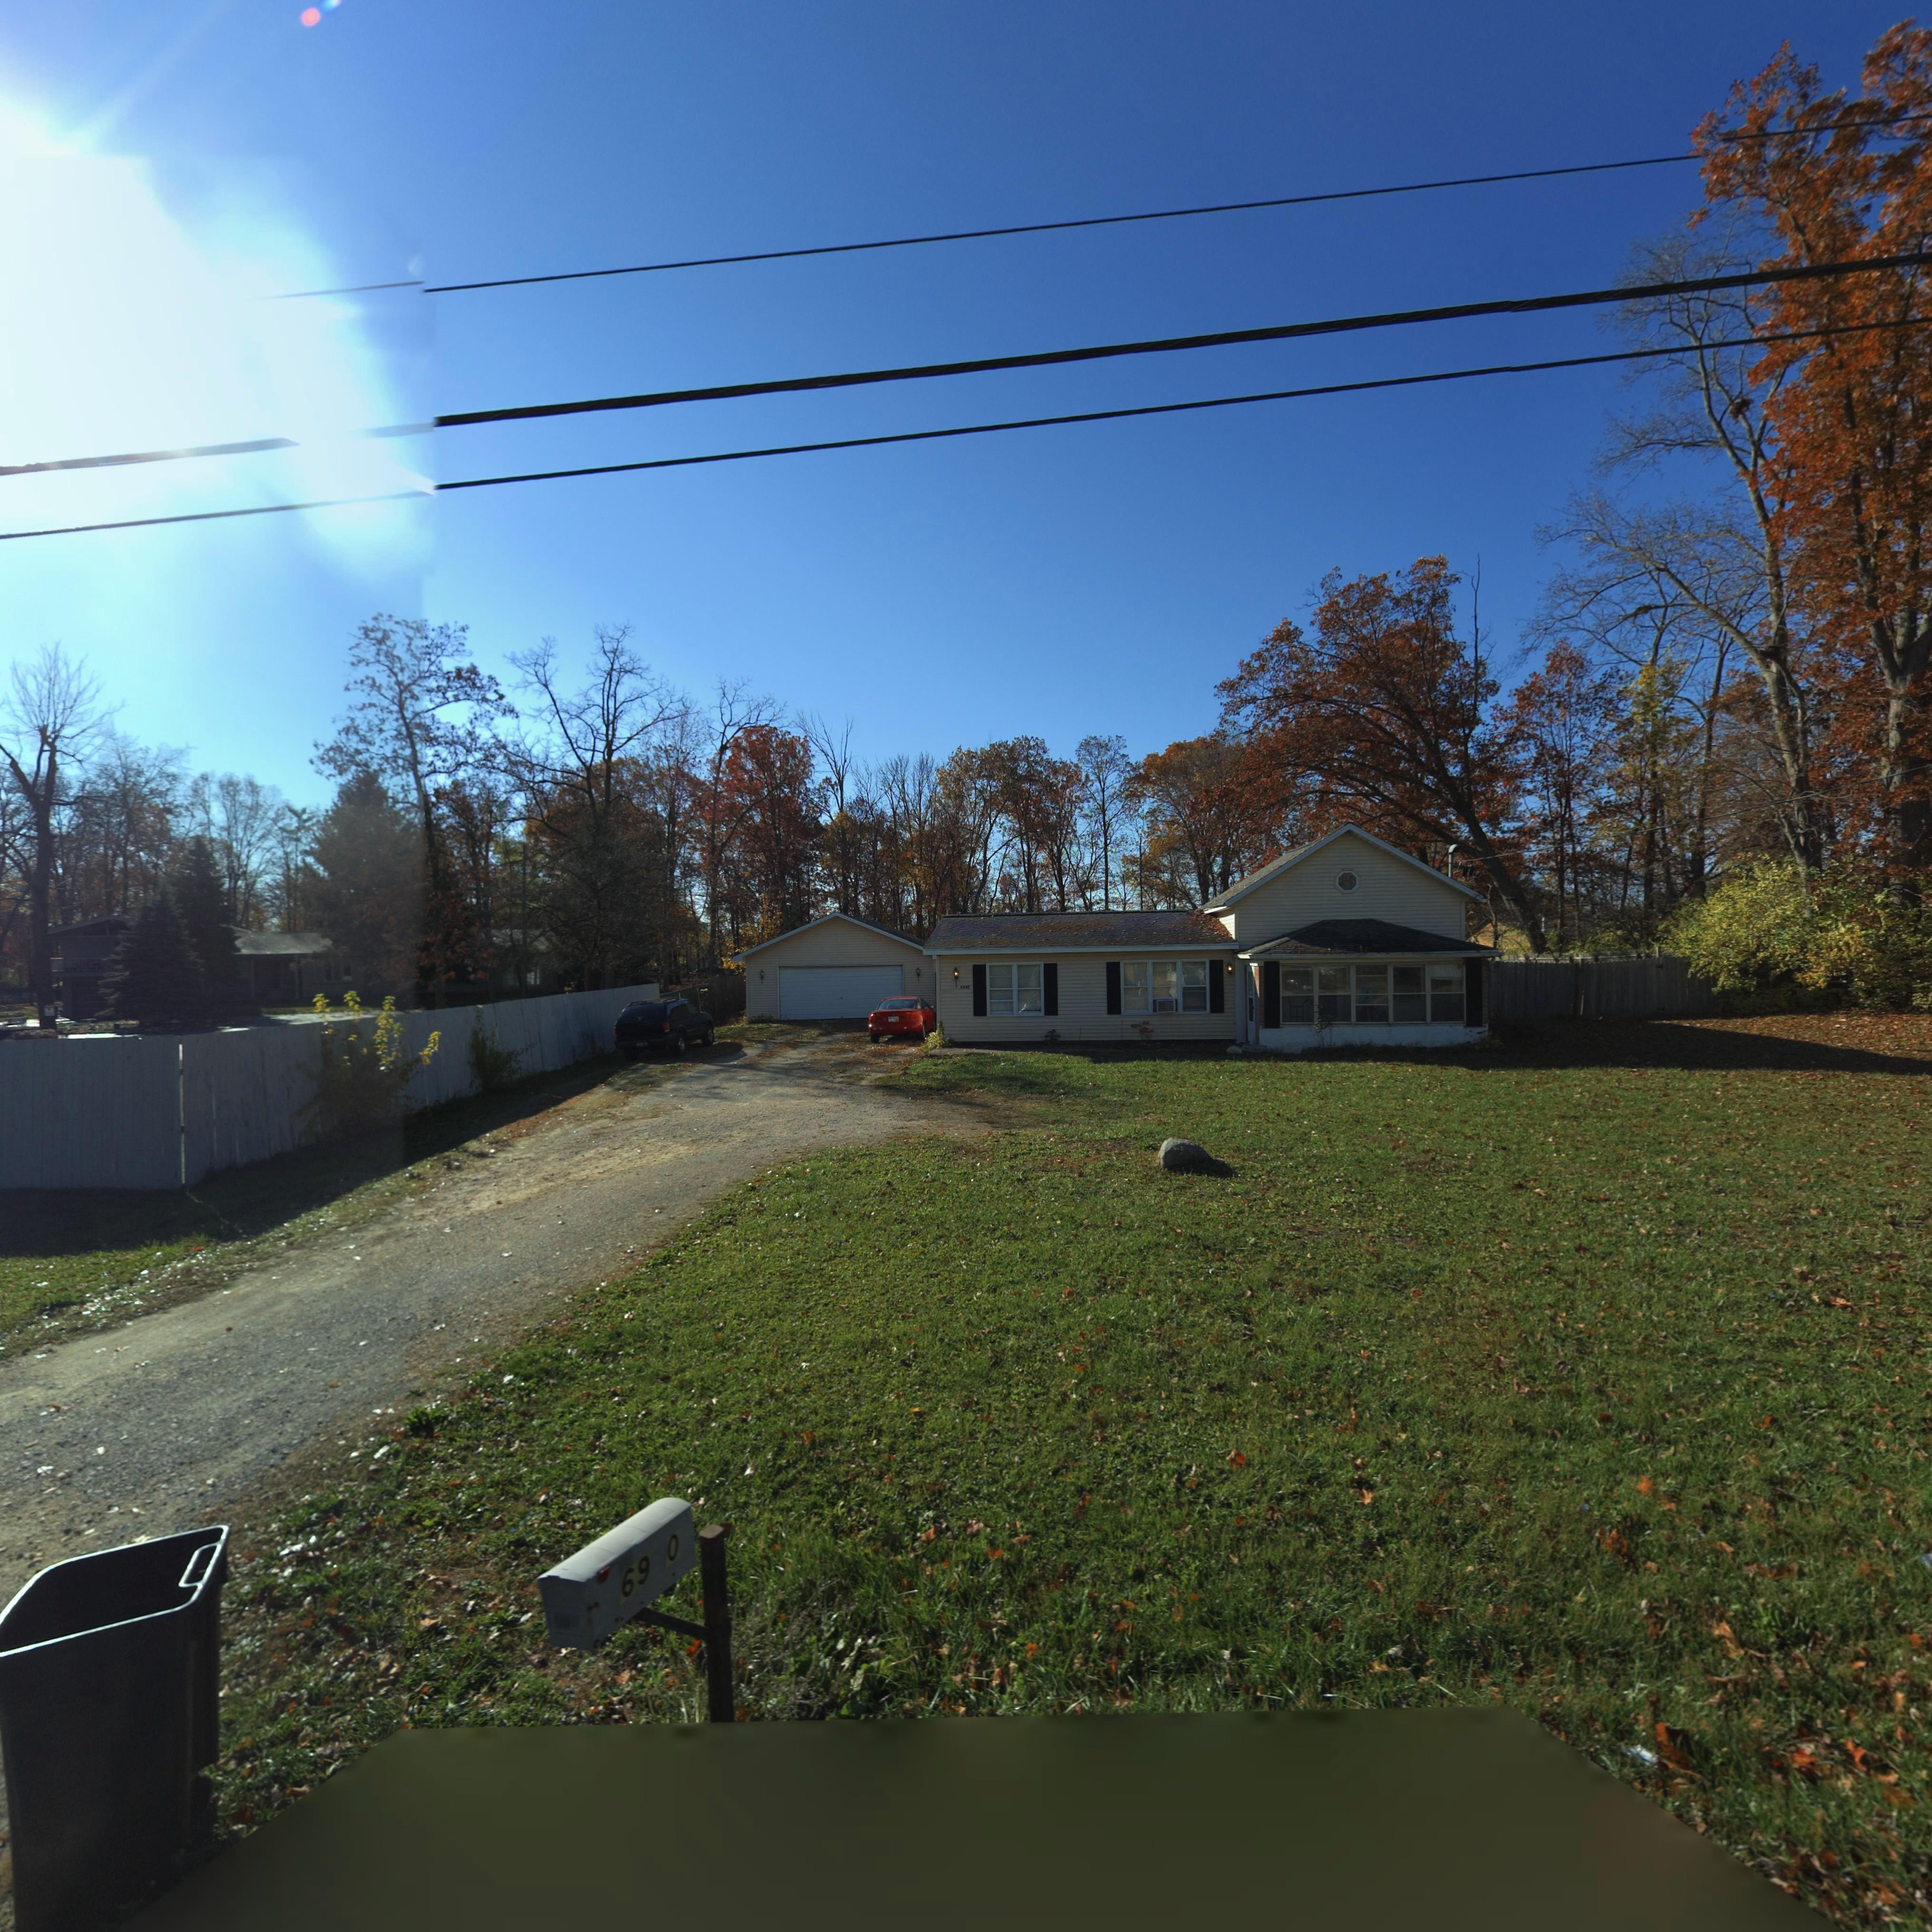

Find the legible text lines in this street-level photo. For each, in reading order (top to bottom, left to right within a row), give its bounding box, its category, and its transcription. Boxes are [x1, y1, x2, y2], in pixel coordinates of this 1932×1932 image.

[619, 1529, 682, 1601] StreetNumber: 69*0